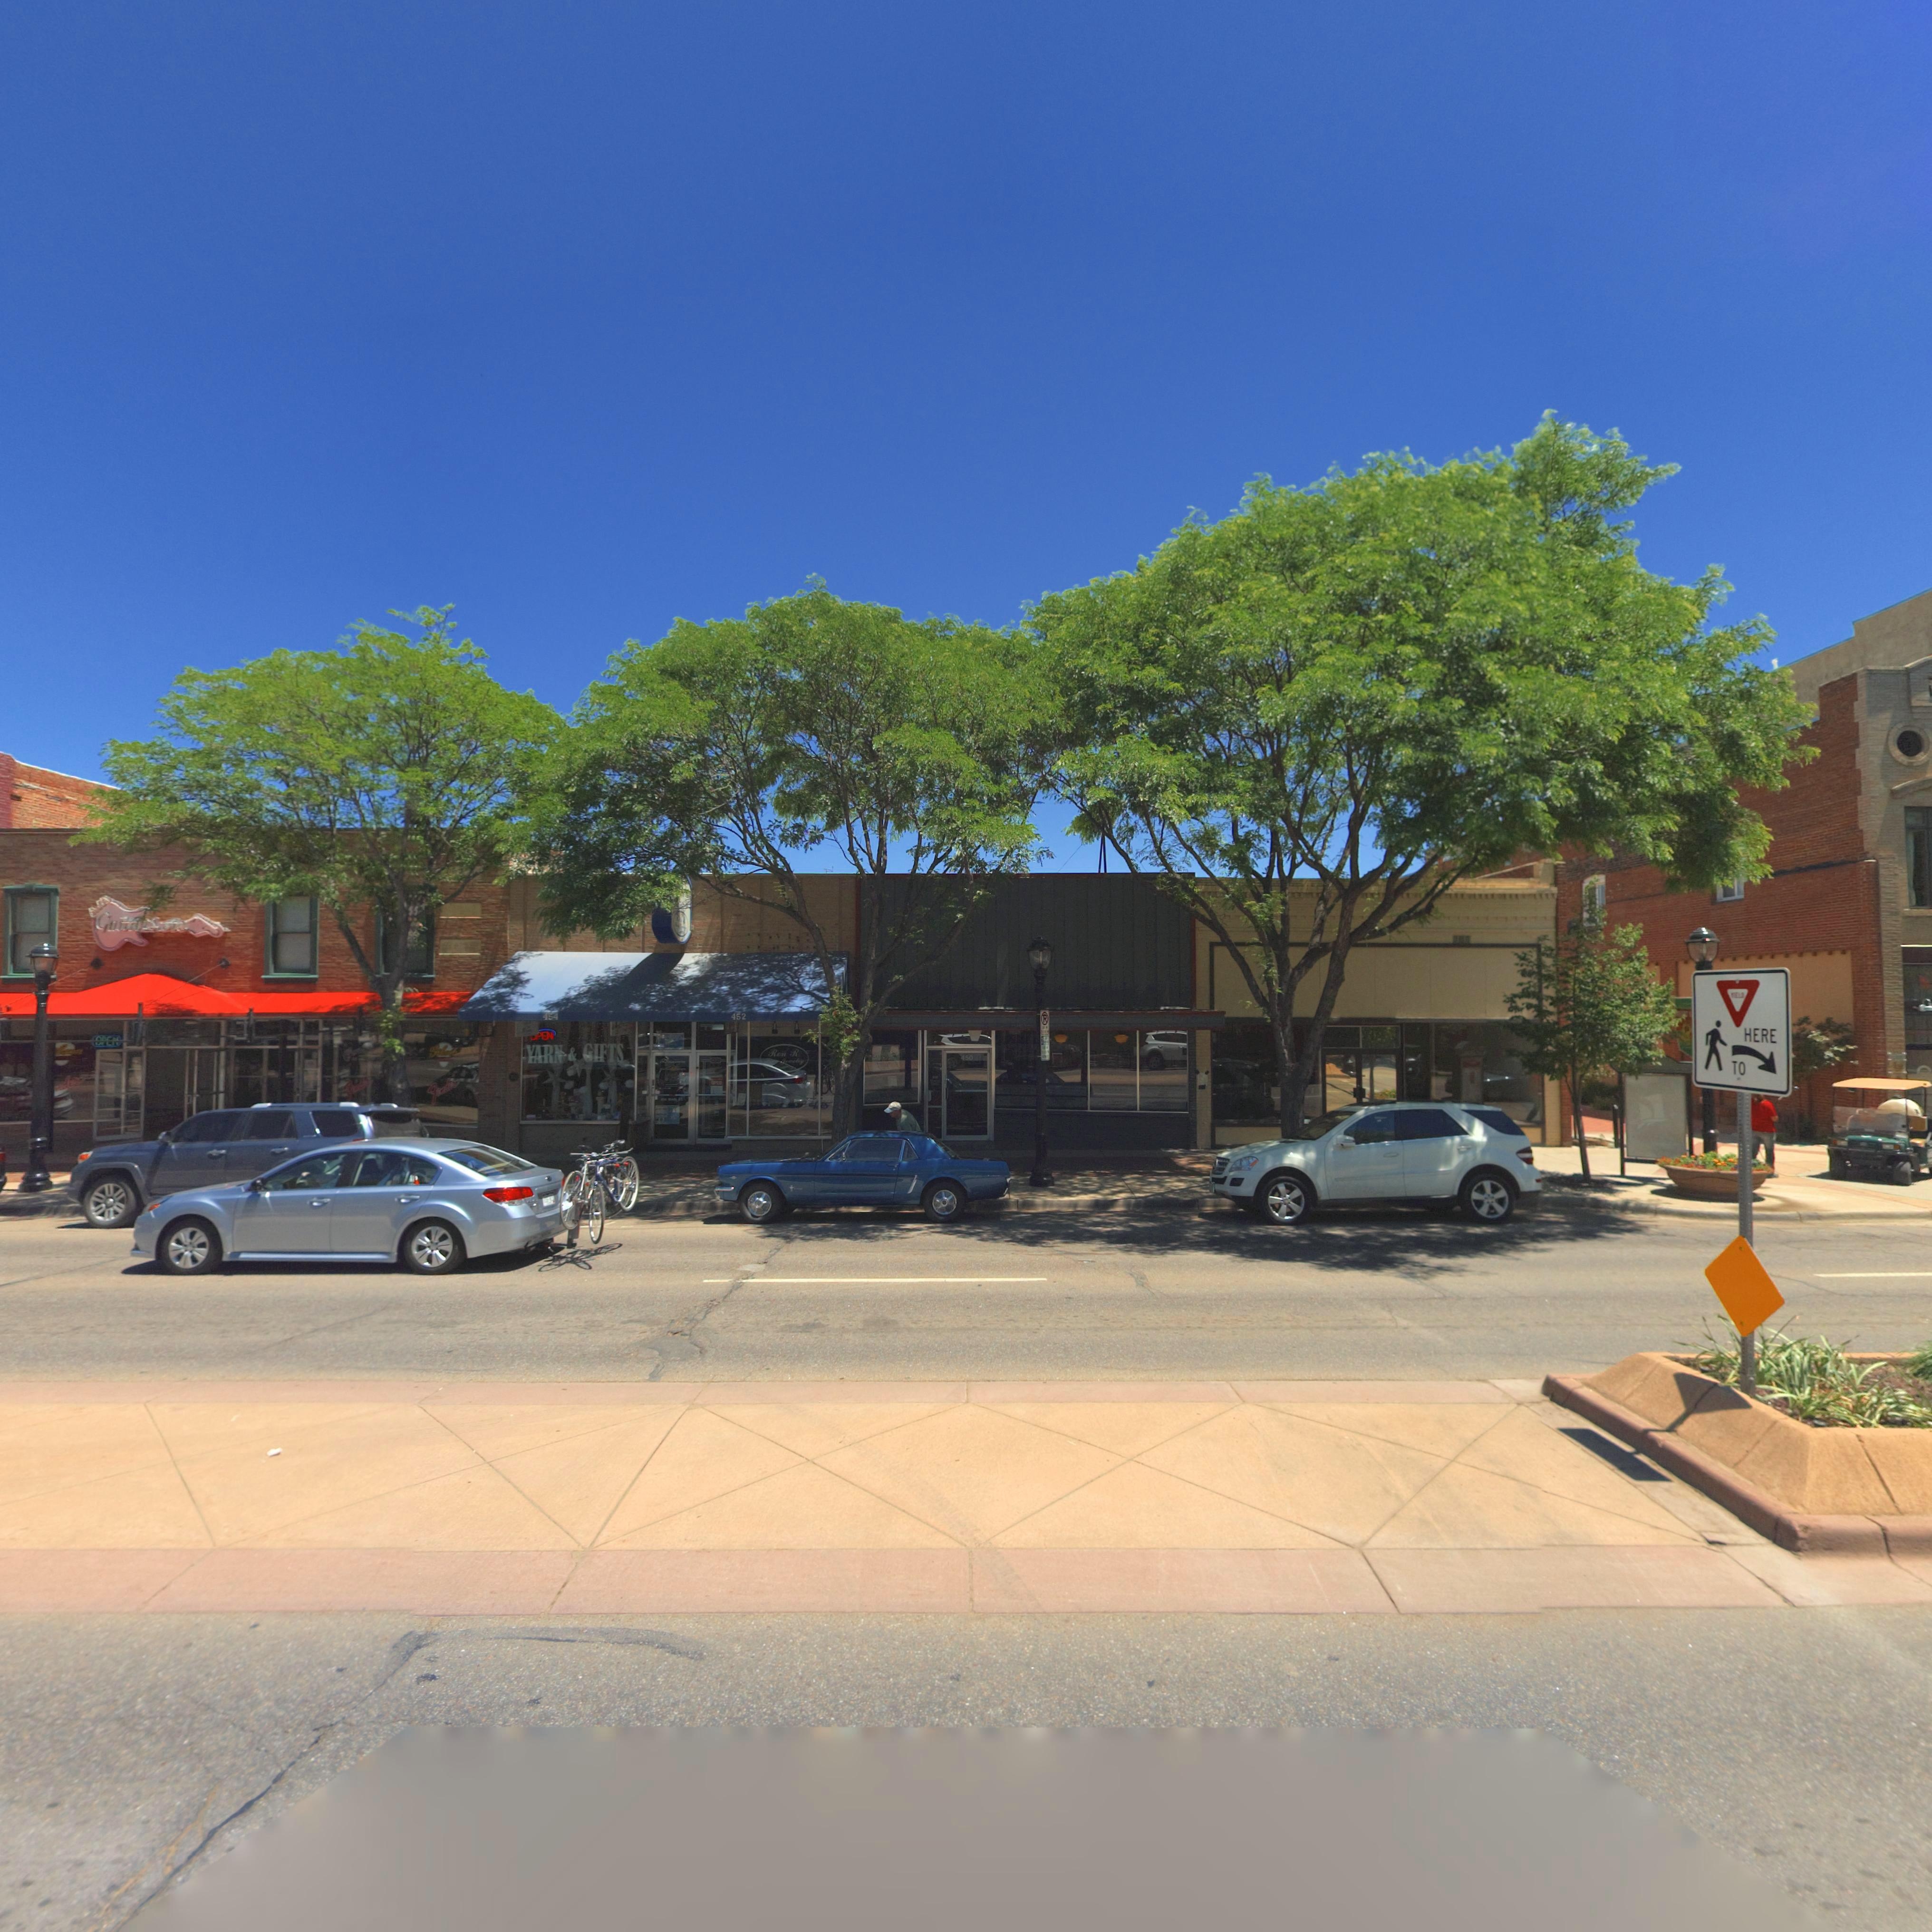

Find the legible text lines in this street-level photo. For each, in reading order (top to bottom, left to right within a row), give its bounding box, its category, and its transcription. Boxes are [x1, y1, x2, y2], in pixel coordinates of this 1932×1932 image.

[94, 911, 190, 933] BusinessName: Guitars etc
[542, 1012, 559, 1021] StreetNumber: 454
[731, 1012, 746, 1020] StreetNumber: 452
[960, 1054, 973, 1061] StreetNumber: 450